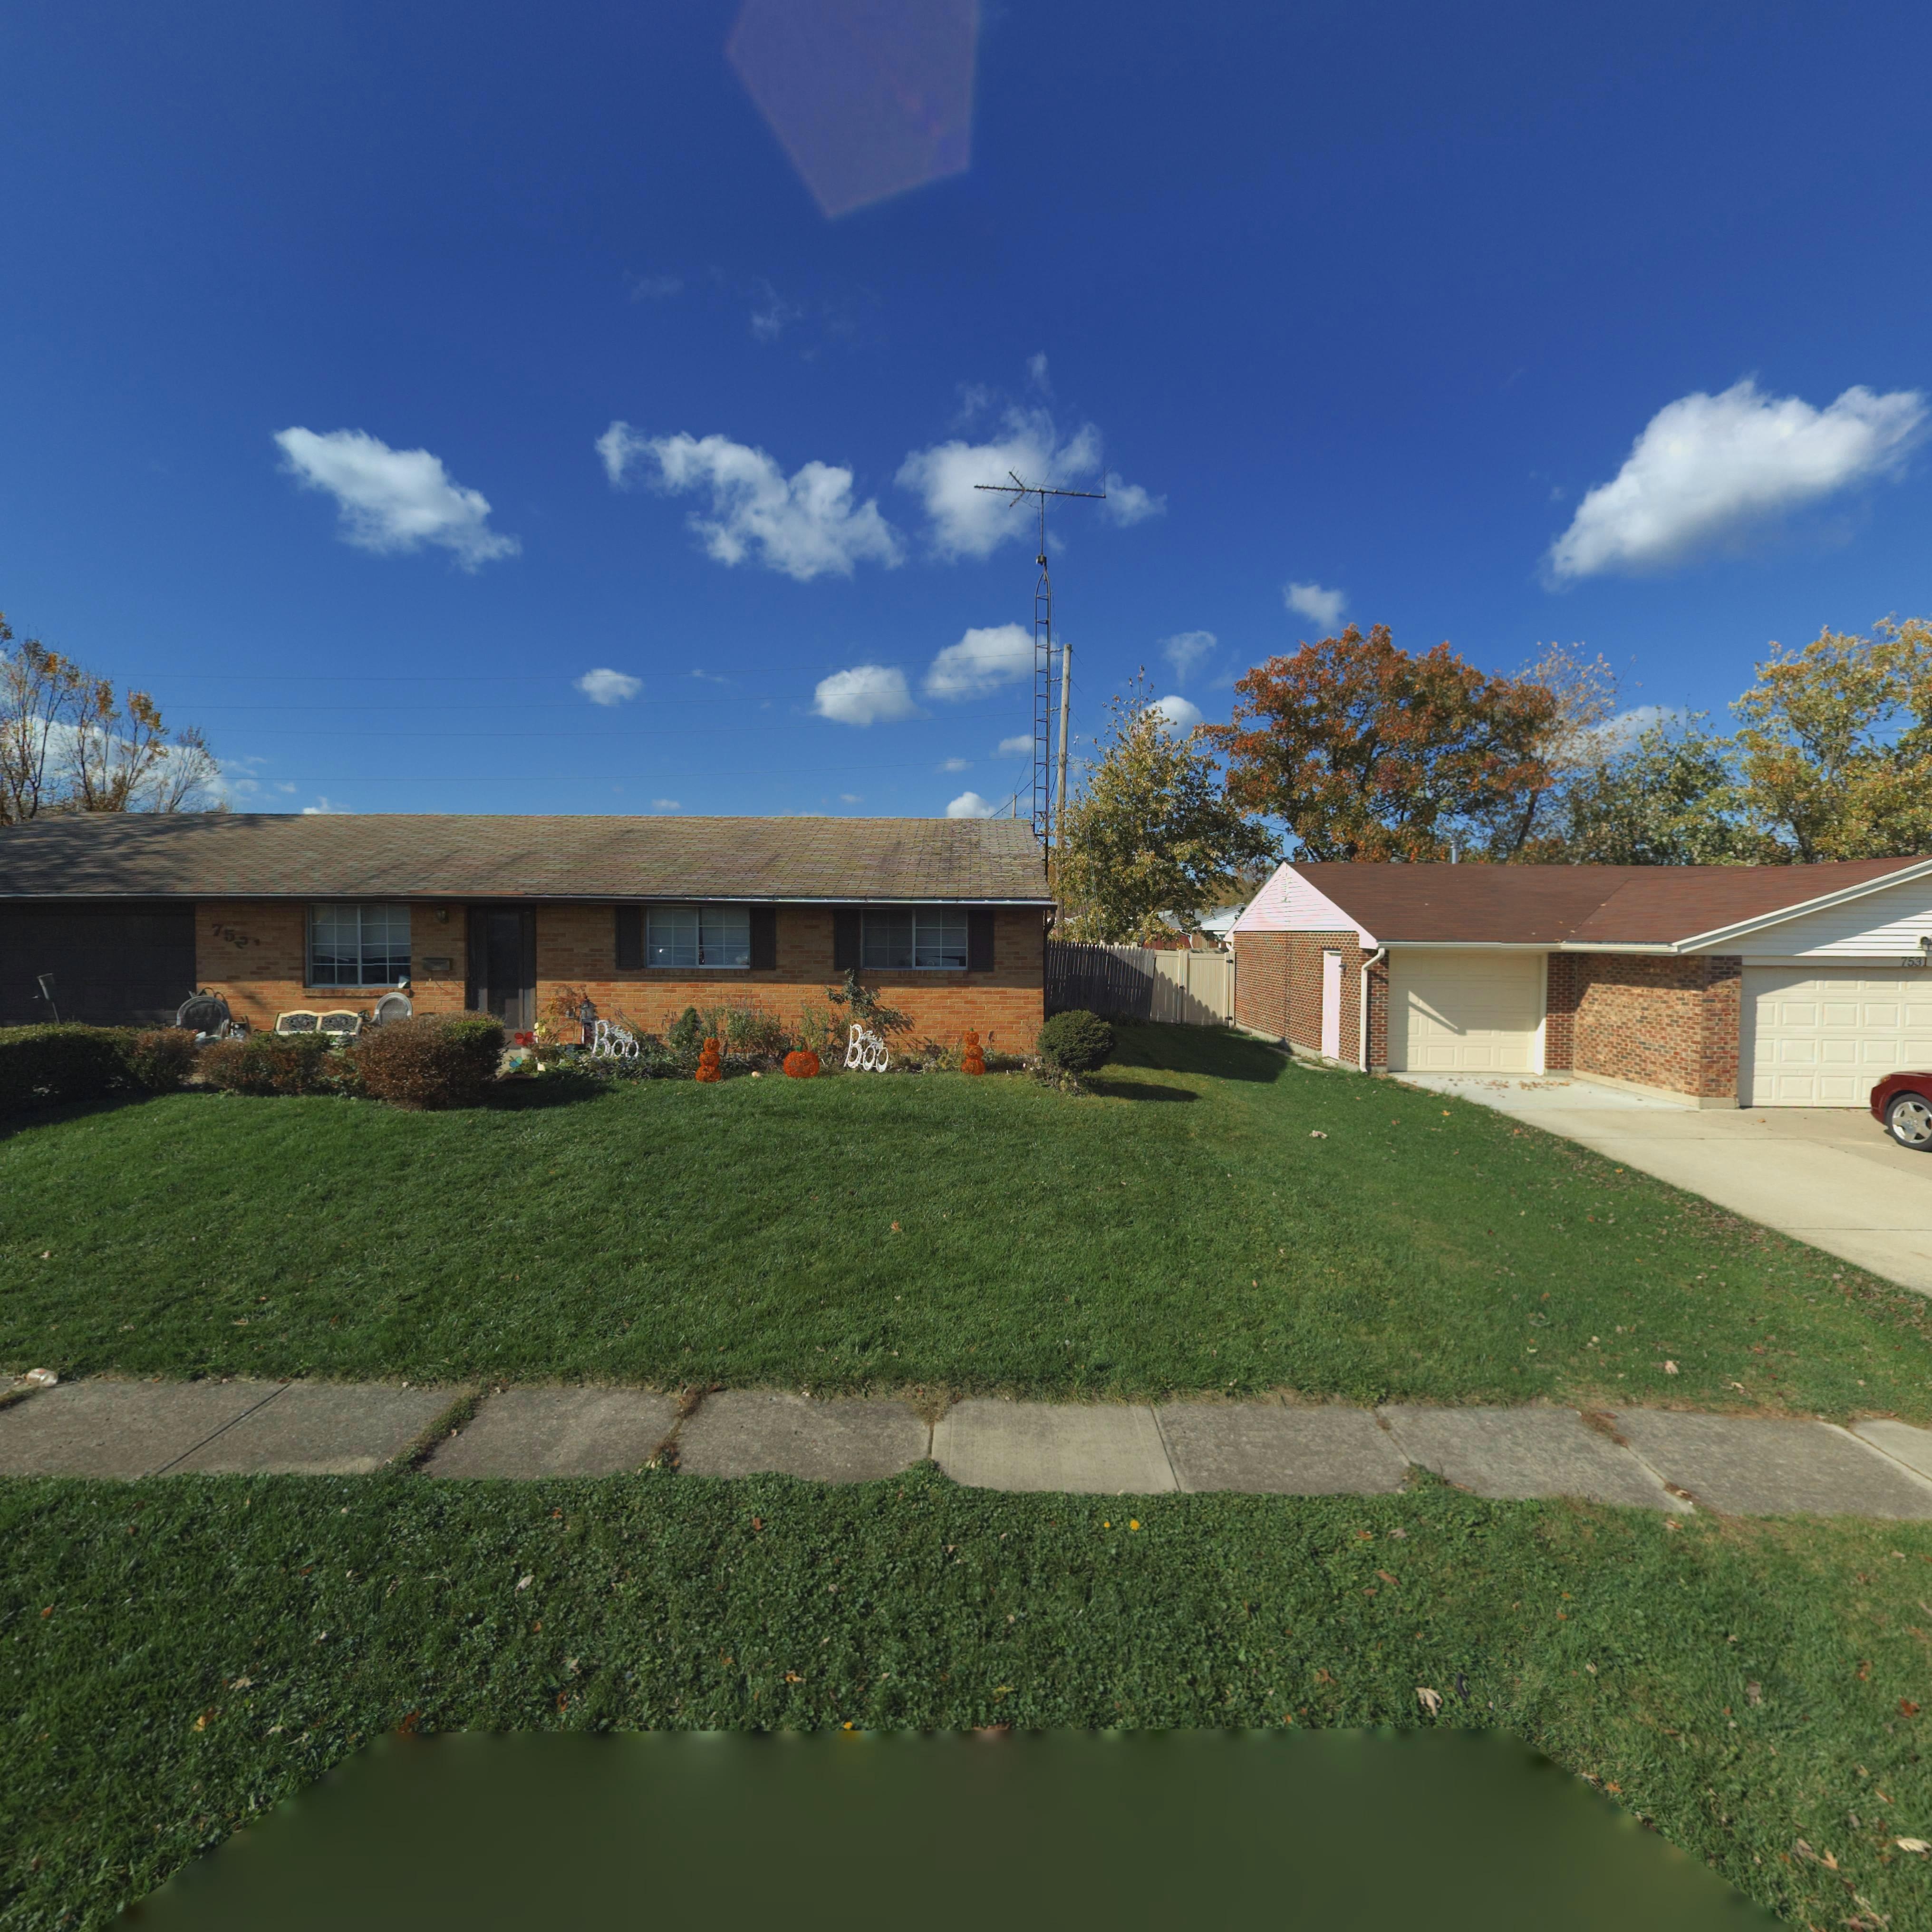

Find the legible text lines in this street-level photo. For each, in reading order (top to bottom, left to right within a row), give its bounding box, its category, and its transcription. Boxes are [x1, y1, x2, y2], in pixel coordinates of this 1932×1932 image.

[210, 922, 262, 952] StreetNumber: 752*
[1899, 956, 1928, 968] StreetNumber: 7531